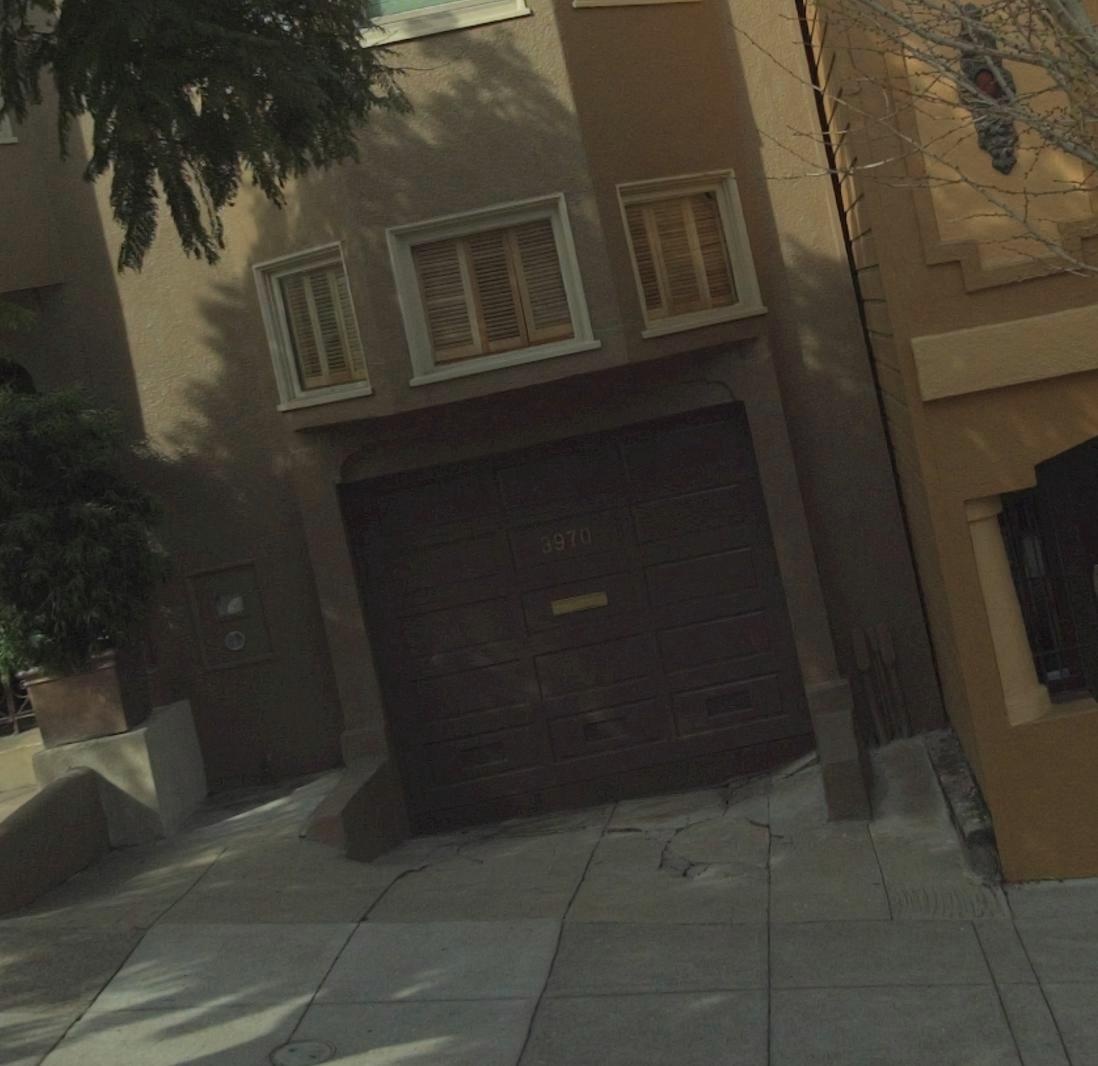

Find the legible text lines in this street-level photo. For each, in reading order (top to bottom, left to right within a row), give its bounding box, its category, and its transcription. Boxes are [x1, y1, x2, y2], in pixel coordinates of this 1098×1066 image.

[538, 524, 595, 557] StreetNumber: 3970